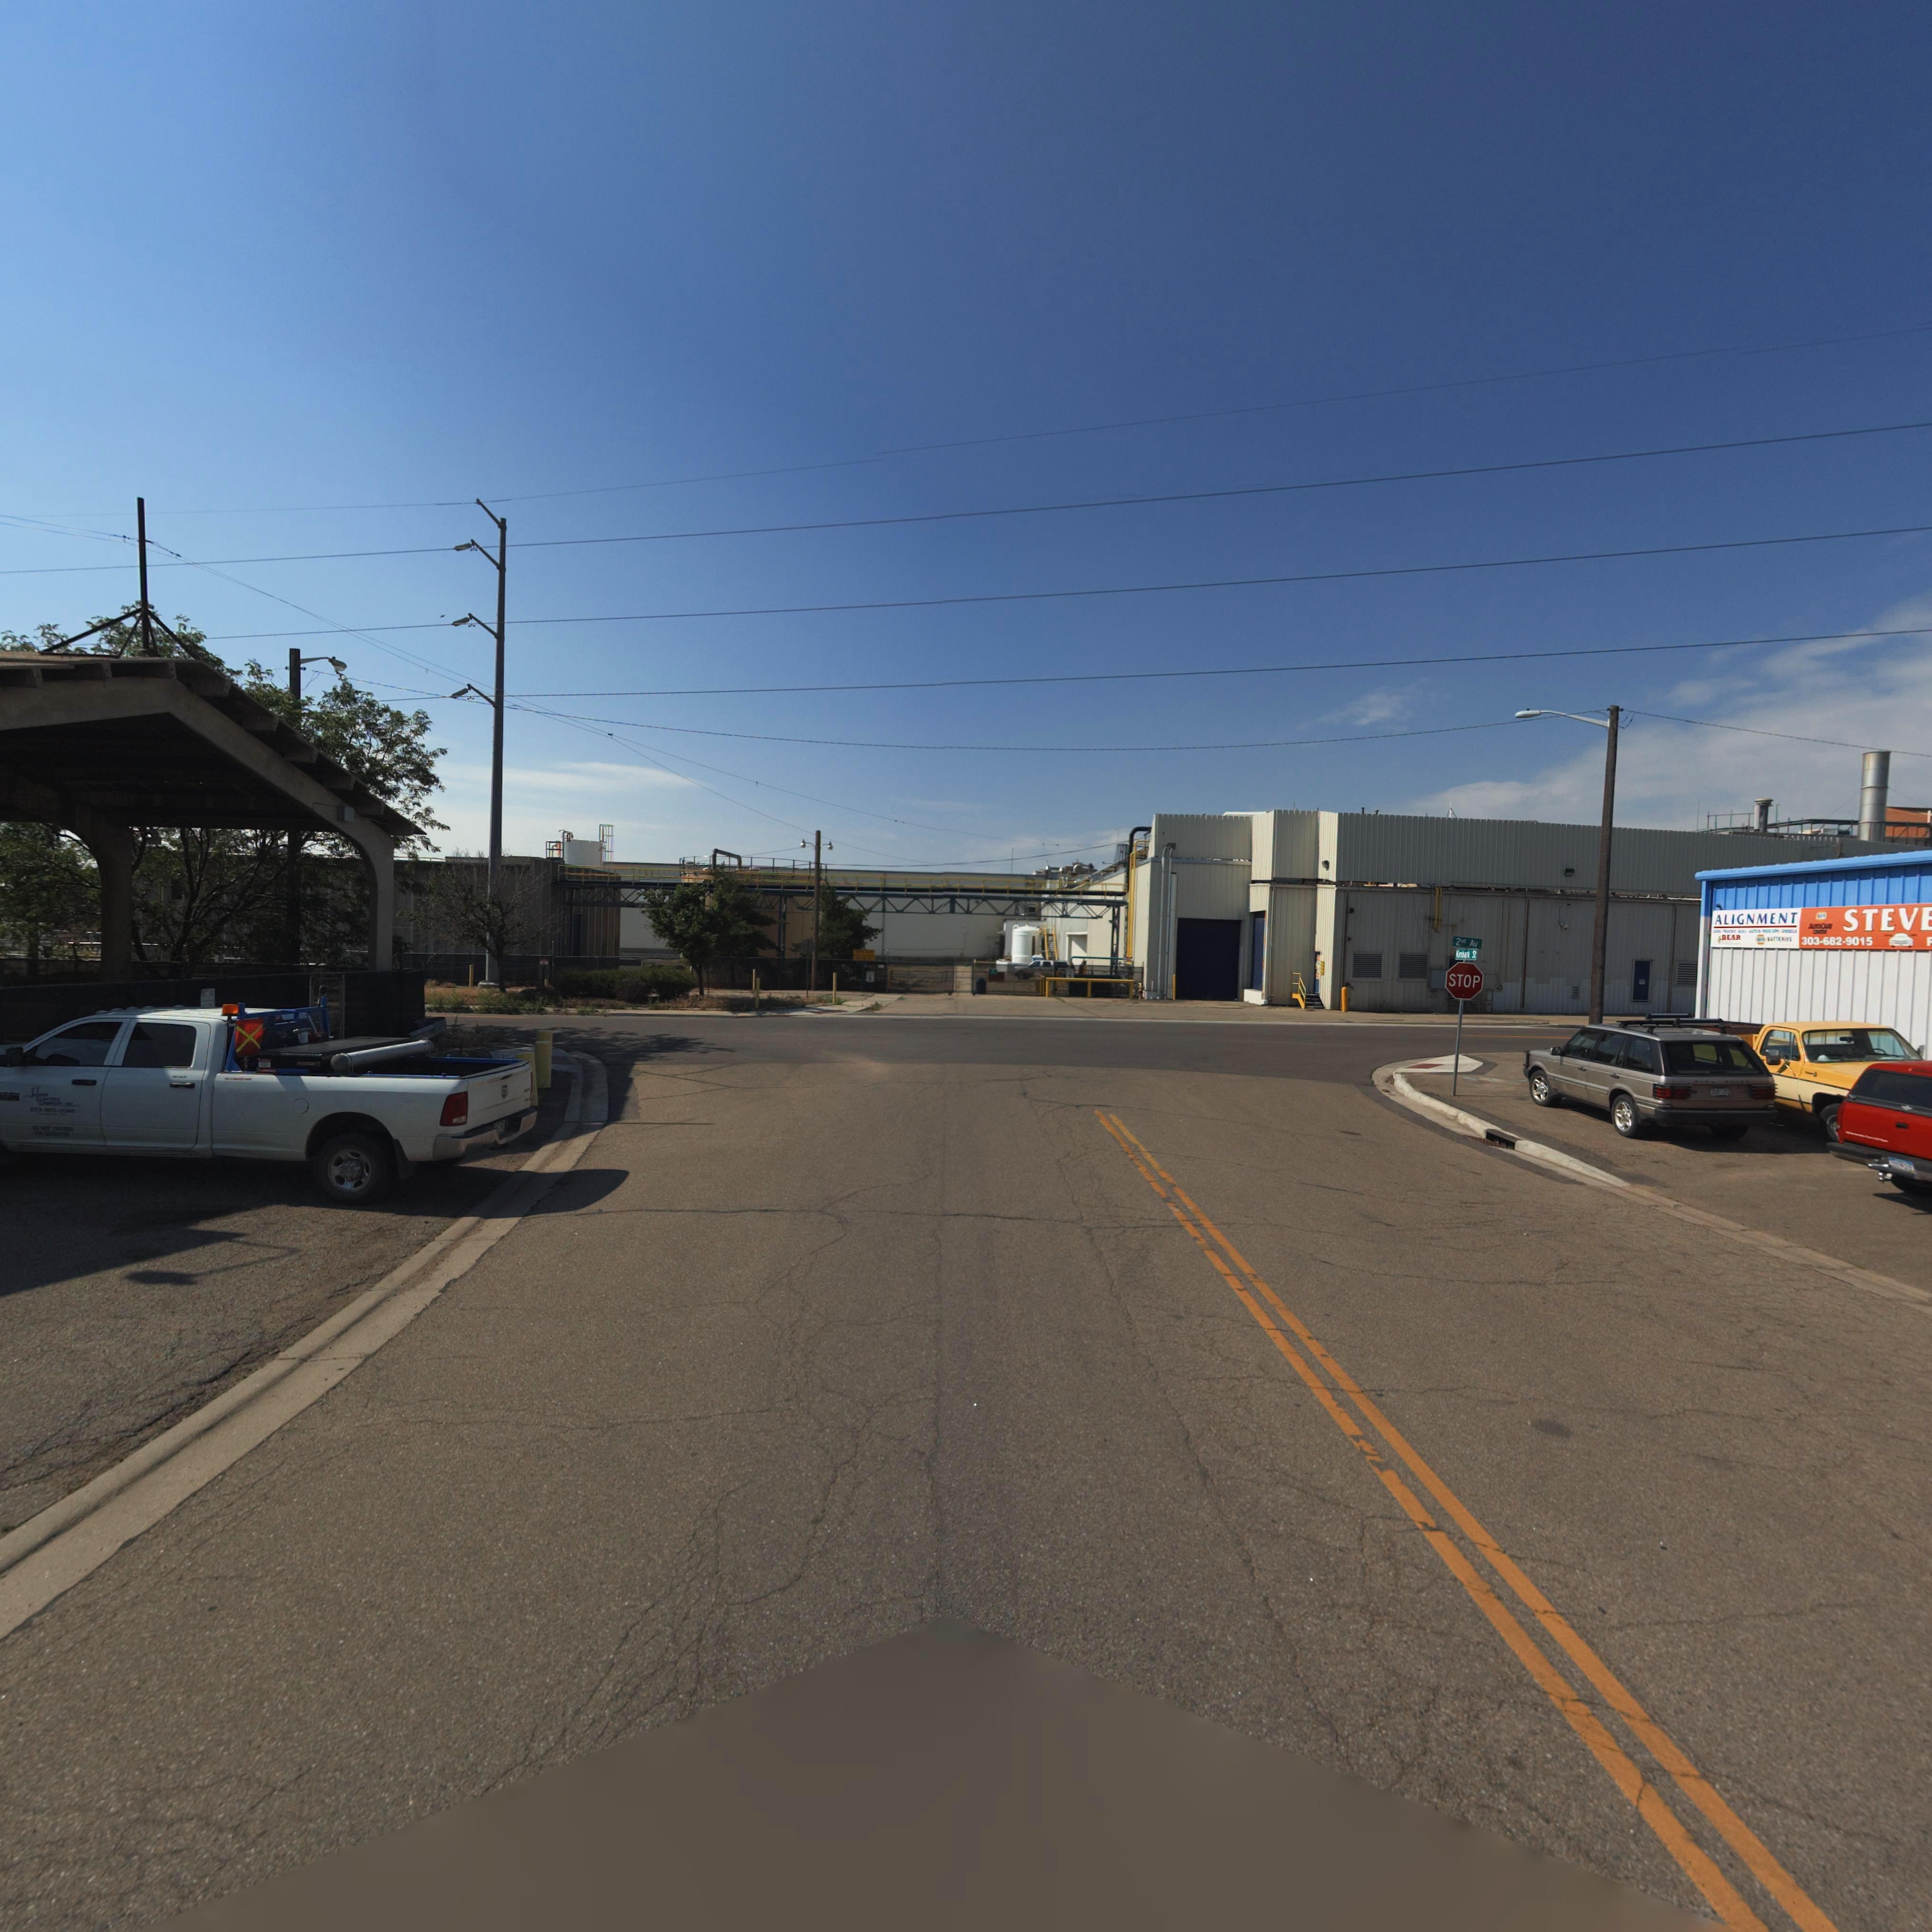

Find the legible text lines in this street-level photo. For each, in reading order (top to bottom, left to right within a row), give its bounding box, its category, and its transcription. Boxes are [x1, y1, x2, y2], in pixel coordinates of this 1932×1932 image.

[1842, 907, 1920, 932] BusinessName: STEV
[1455, 937, 1478, 948] StreetName: 2nd Av
[1455, 949, 1477, 958] StreetName: Kimbark St